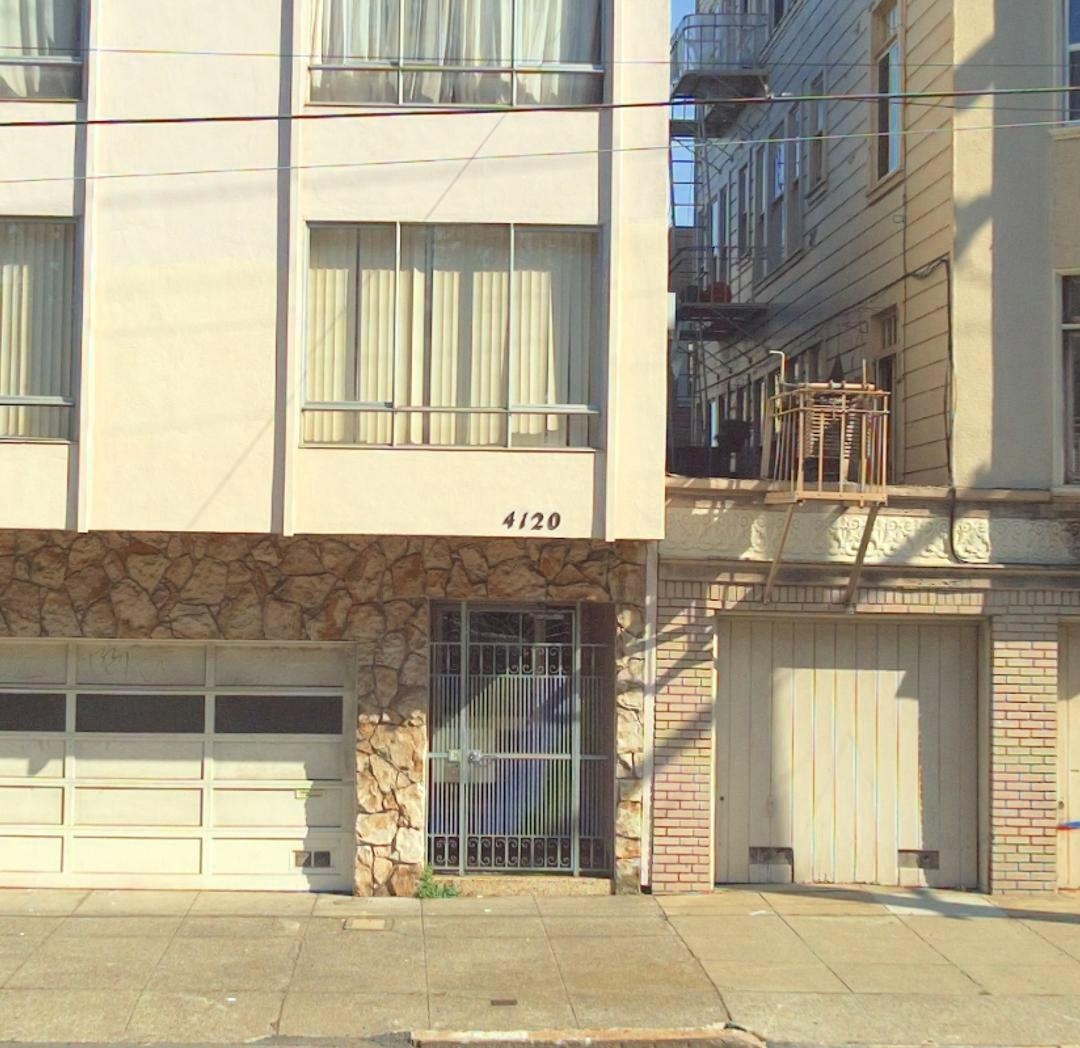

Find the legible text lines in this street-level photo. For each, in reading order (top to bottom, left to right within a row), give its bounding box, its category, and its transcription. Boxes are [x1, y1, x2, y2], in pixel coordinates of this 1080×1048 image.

[500, 508, 563, 534] StreetNumber: 4120